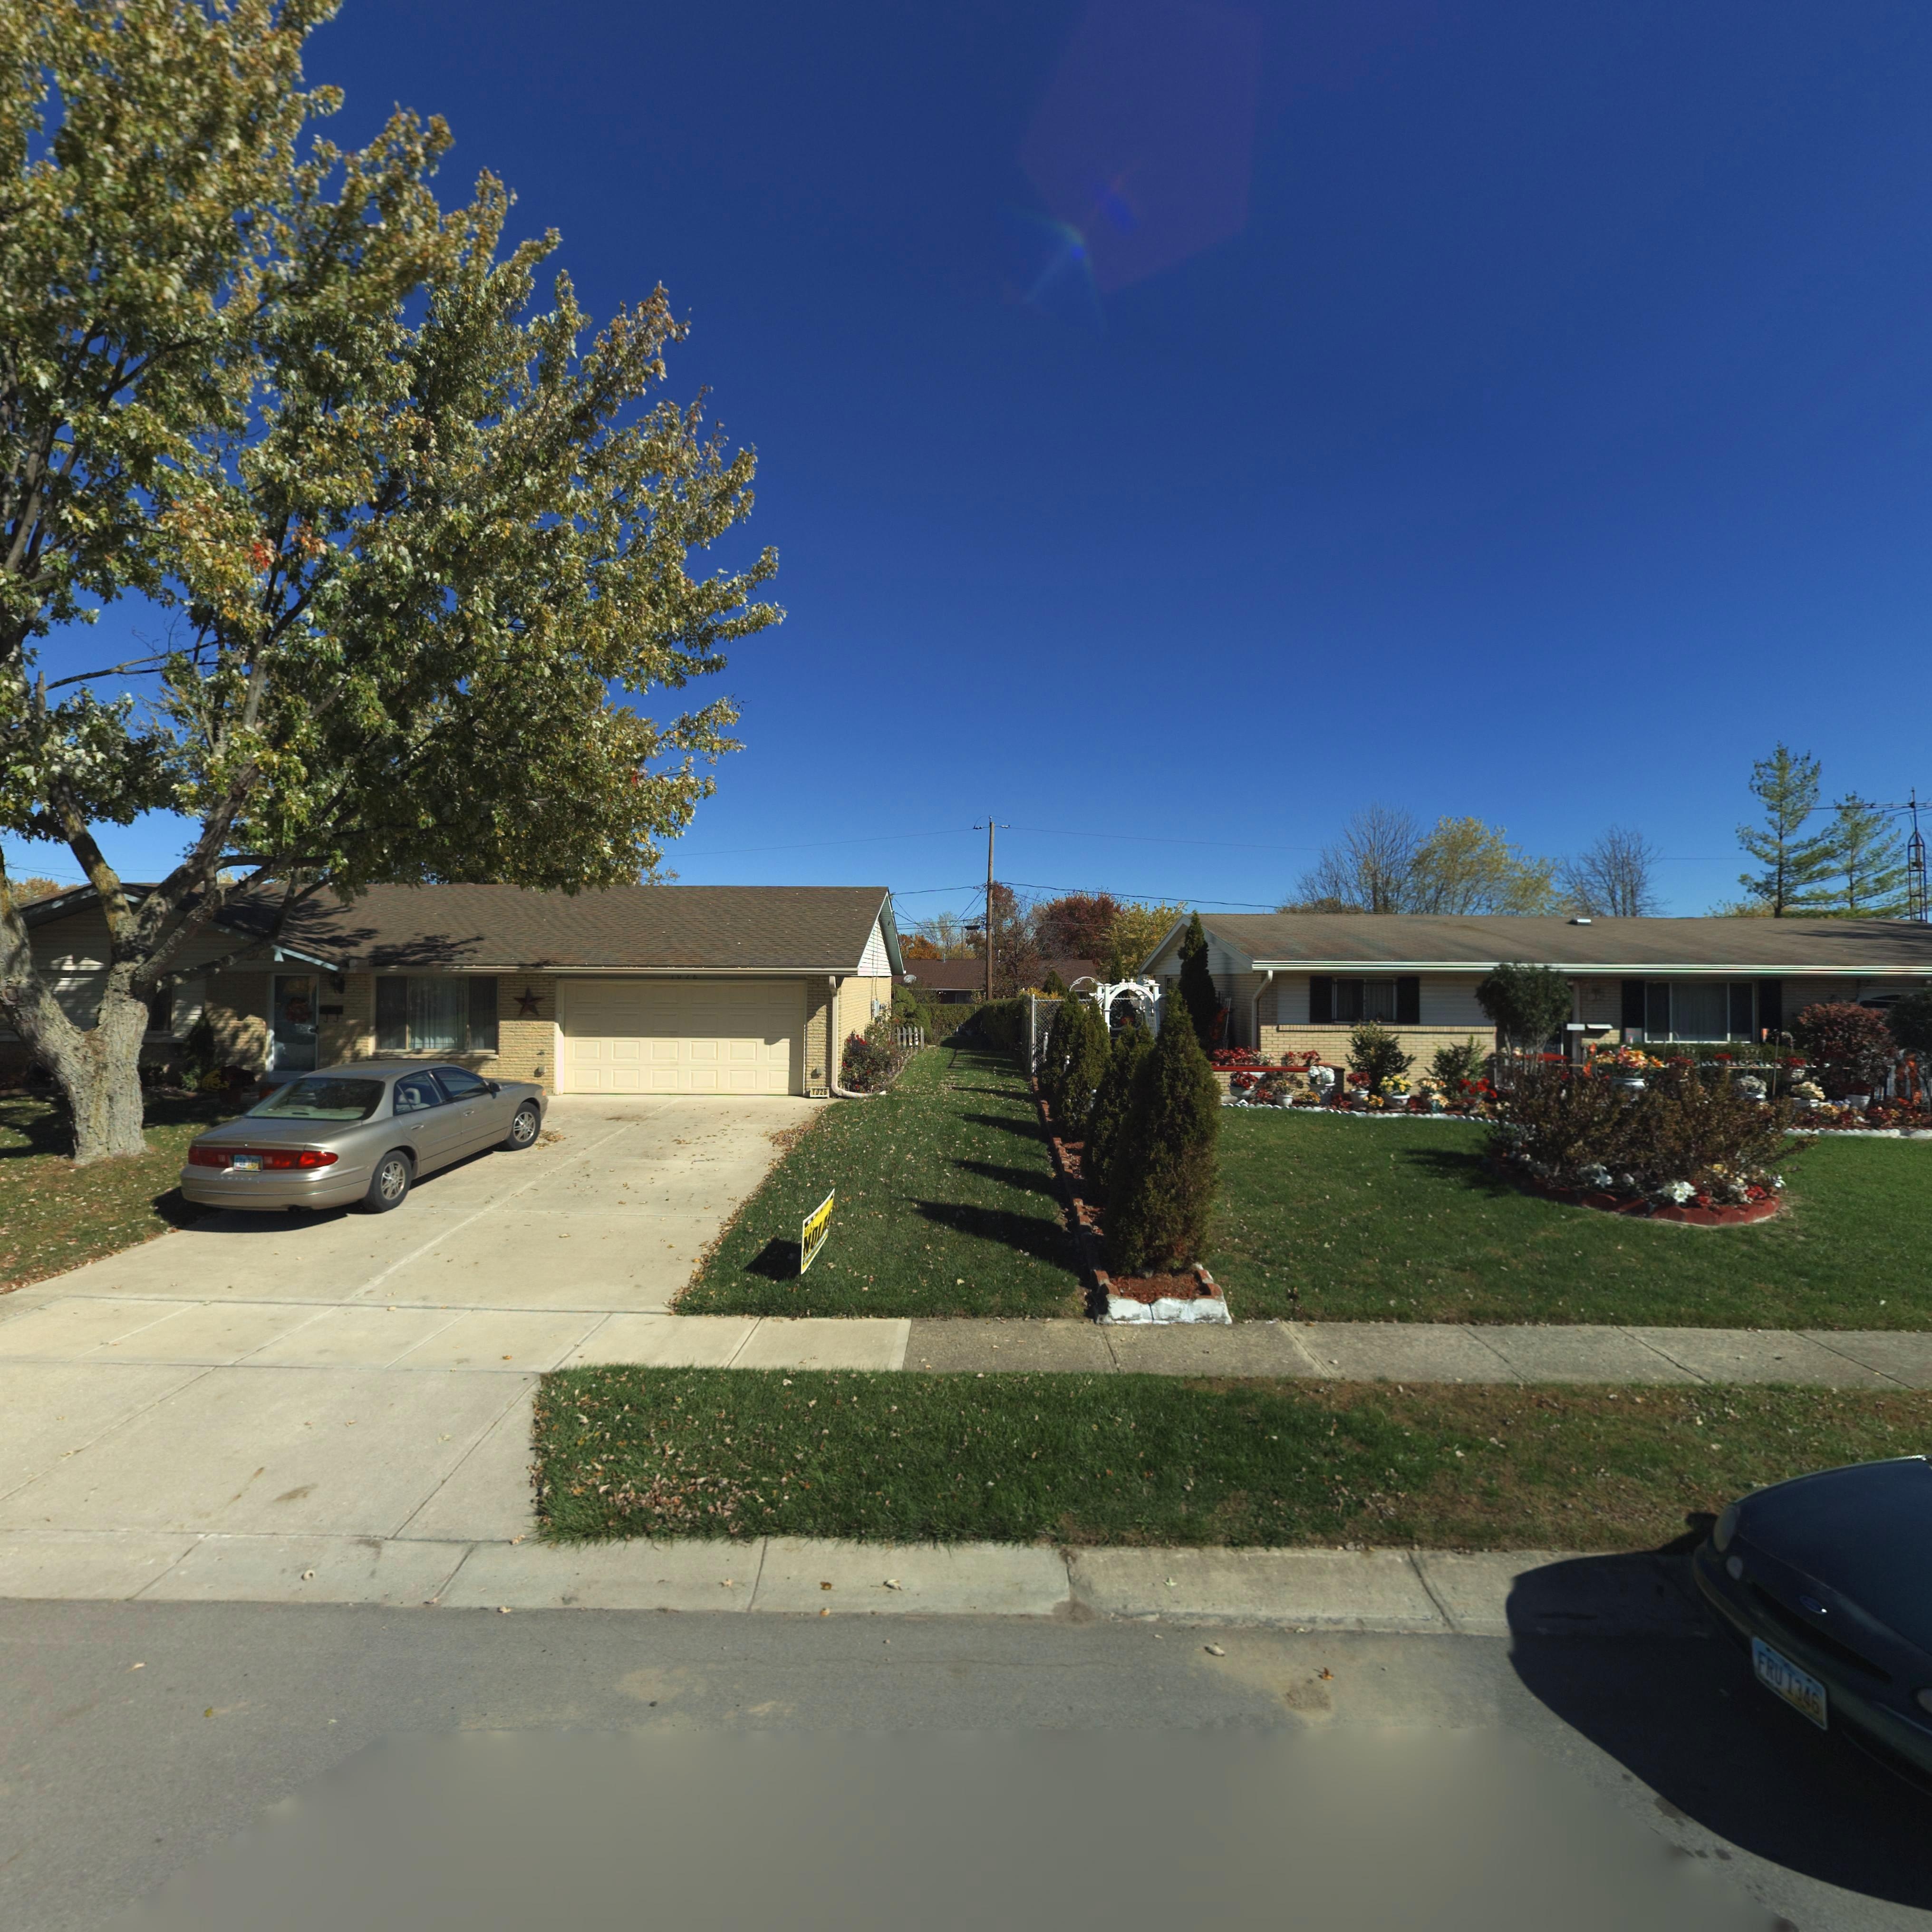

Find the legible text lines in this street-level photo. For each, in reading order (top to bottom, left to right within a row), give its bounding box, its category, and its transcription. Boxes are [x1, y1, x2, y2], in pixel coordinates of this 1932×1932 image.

[812, 1088, 828, 1096] StreetNumber: 1026